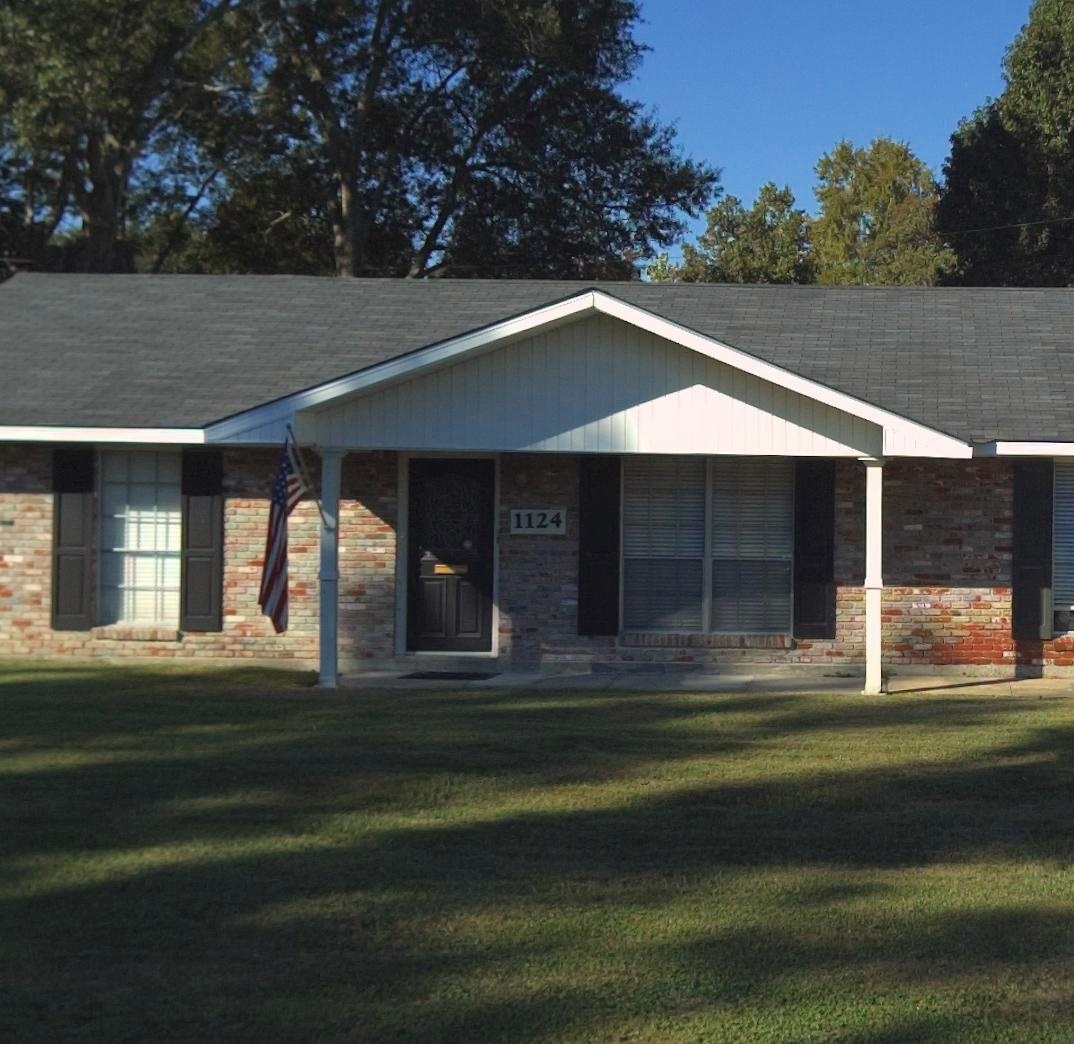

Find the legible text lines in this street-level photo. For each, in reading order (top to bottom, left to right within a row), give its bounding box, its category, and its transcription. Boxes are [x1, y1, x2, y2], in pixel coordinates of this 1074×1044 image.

[512, 510, 564, 531] StreetNumber: 1124